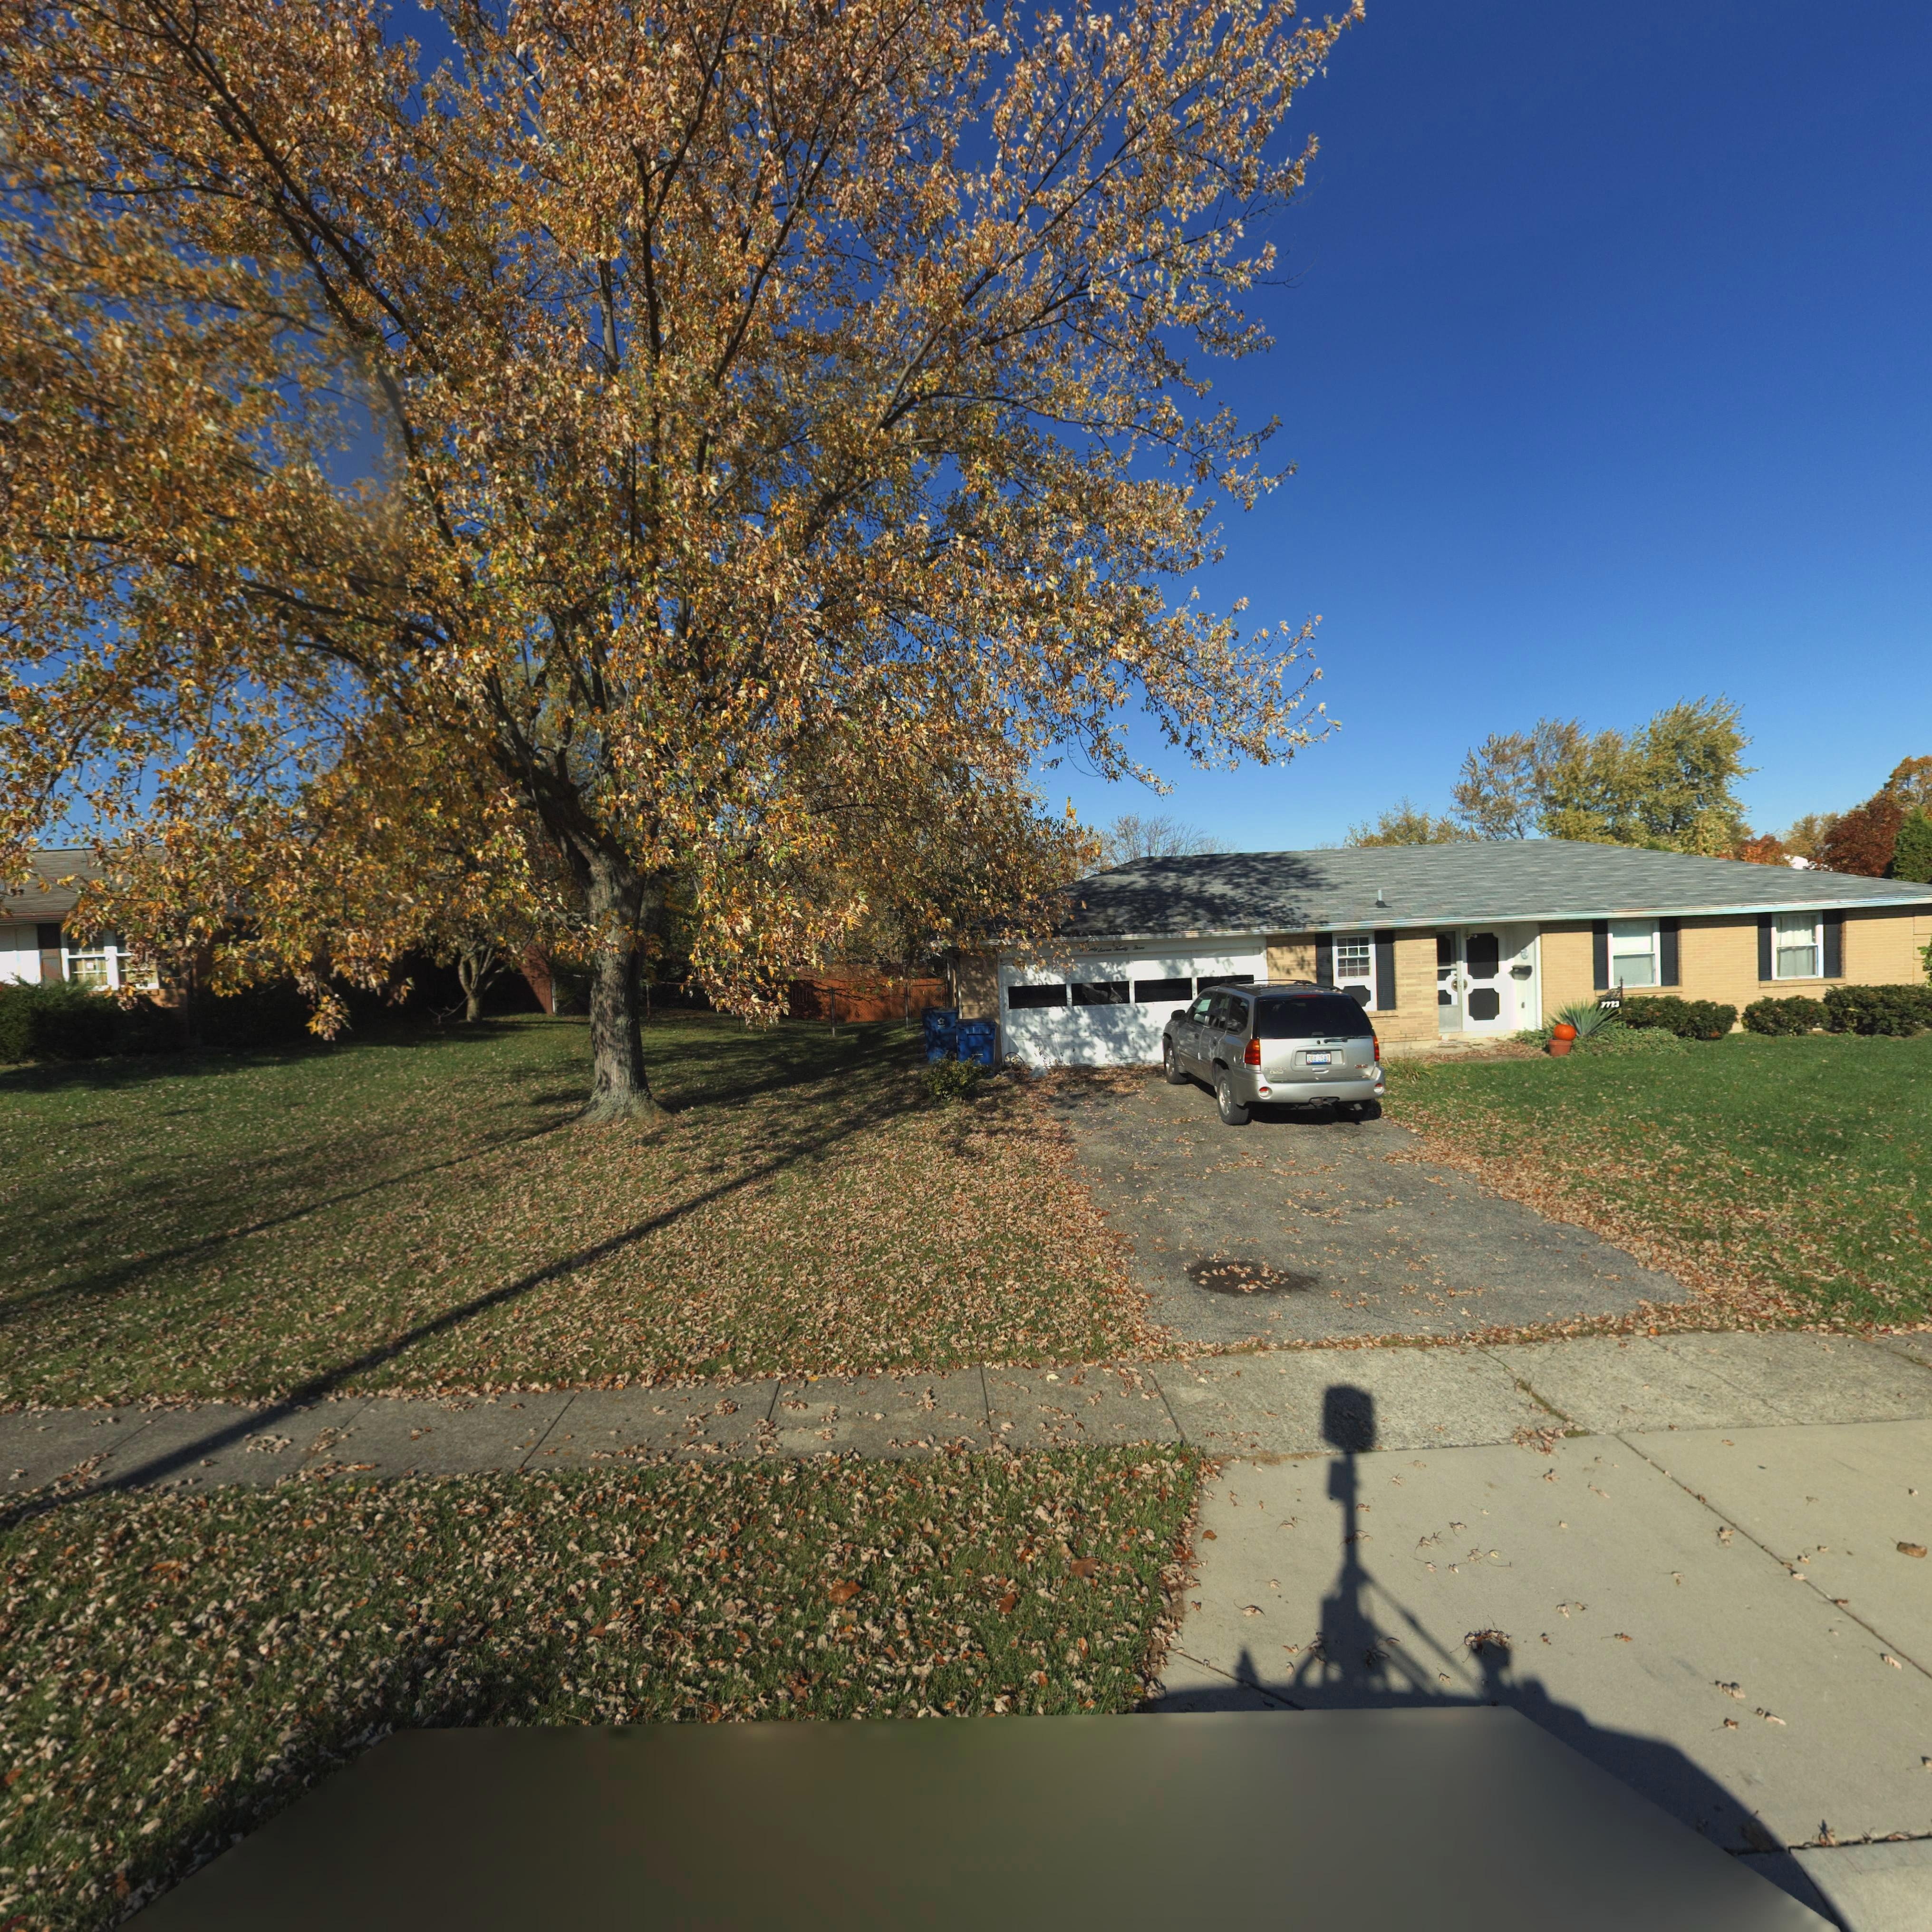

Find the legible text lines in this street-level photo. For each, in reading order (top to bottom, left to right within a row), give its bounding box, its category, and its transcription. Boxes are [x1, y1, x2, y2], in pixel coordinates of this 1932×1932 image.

[1600, 1000, 1621, 1010] StreetNumber: 772*